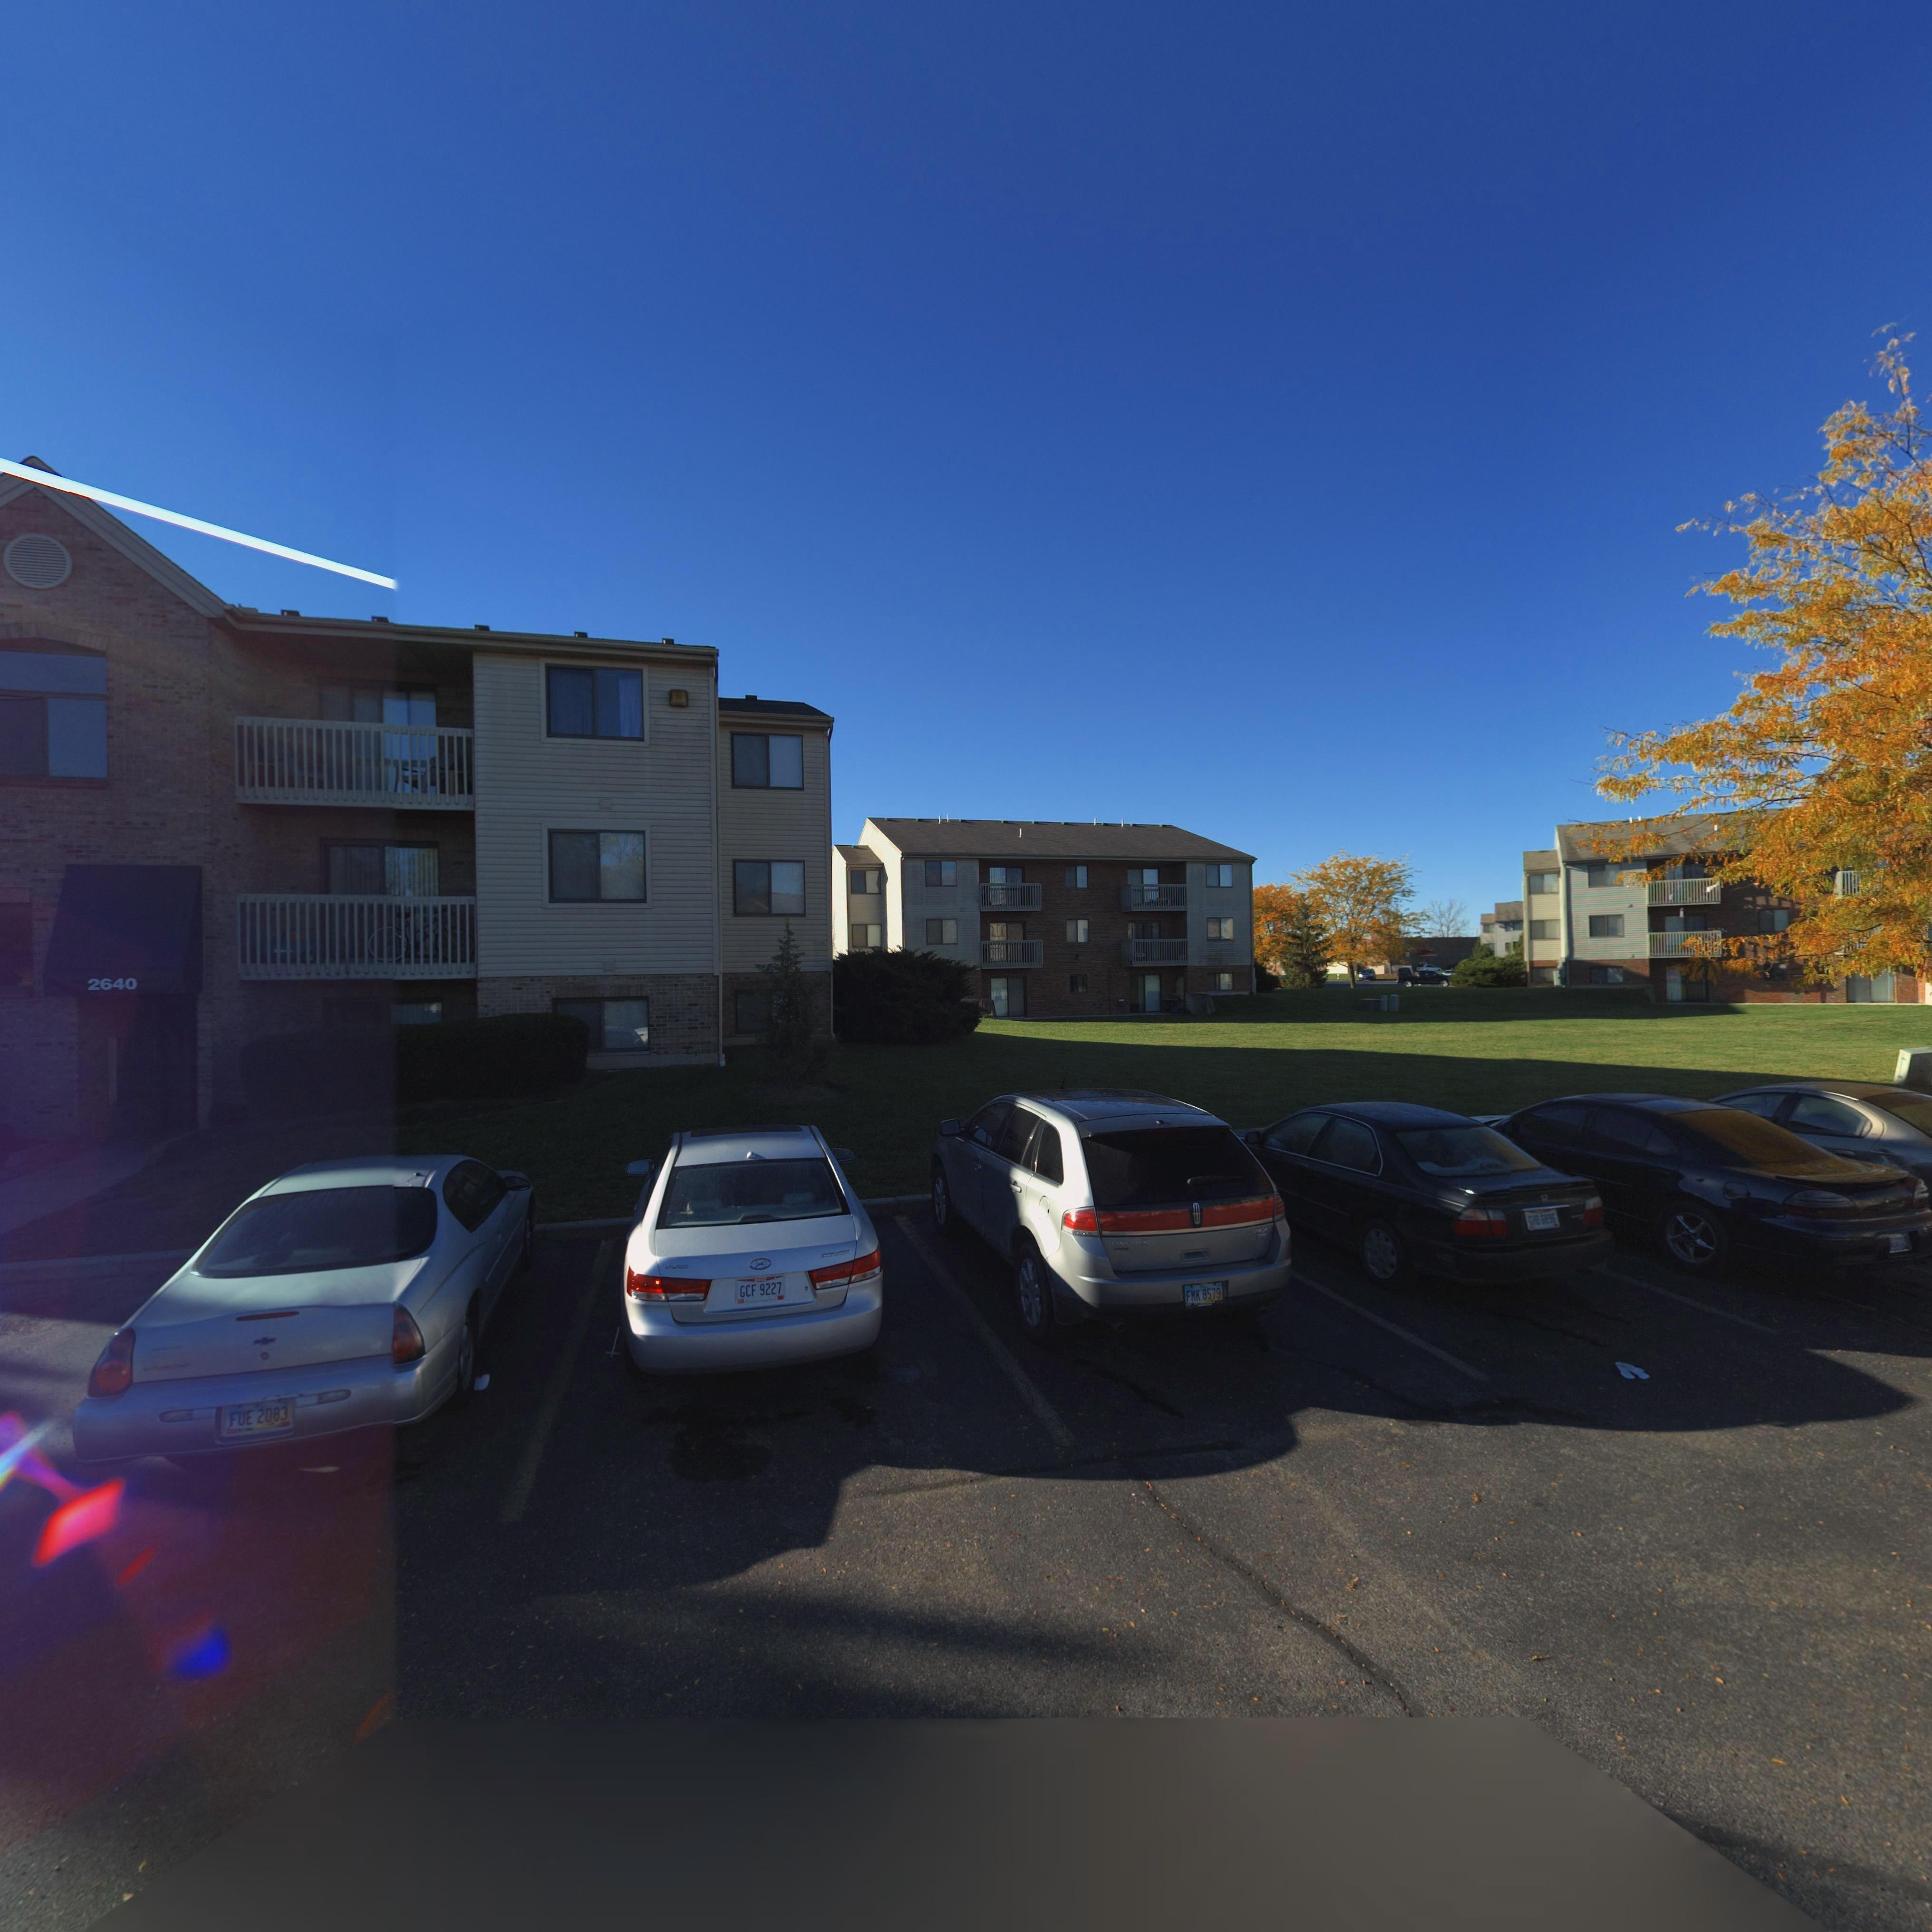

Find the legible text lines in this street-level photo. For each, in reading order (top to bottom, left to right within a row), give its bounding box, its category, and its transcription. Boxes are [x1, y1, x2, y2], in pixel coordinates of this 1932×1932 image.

[86, 976, 140, 992] StreetNumber: 2640